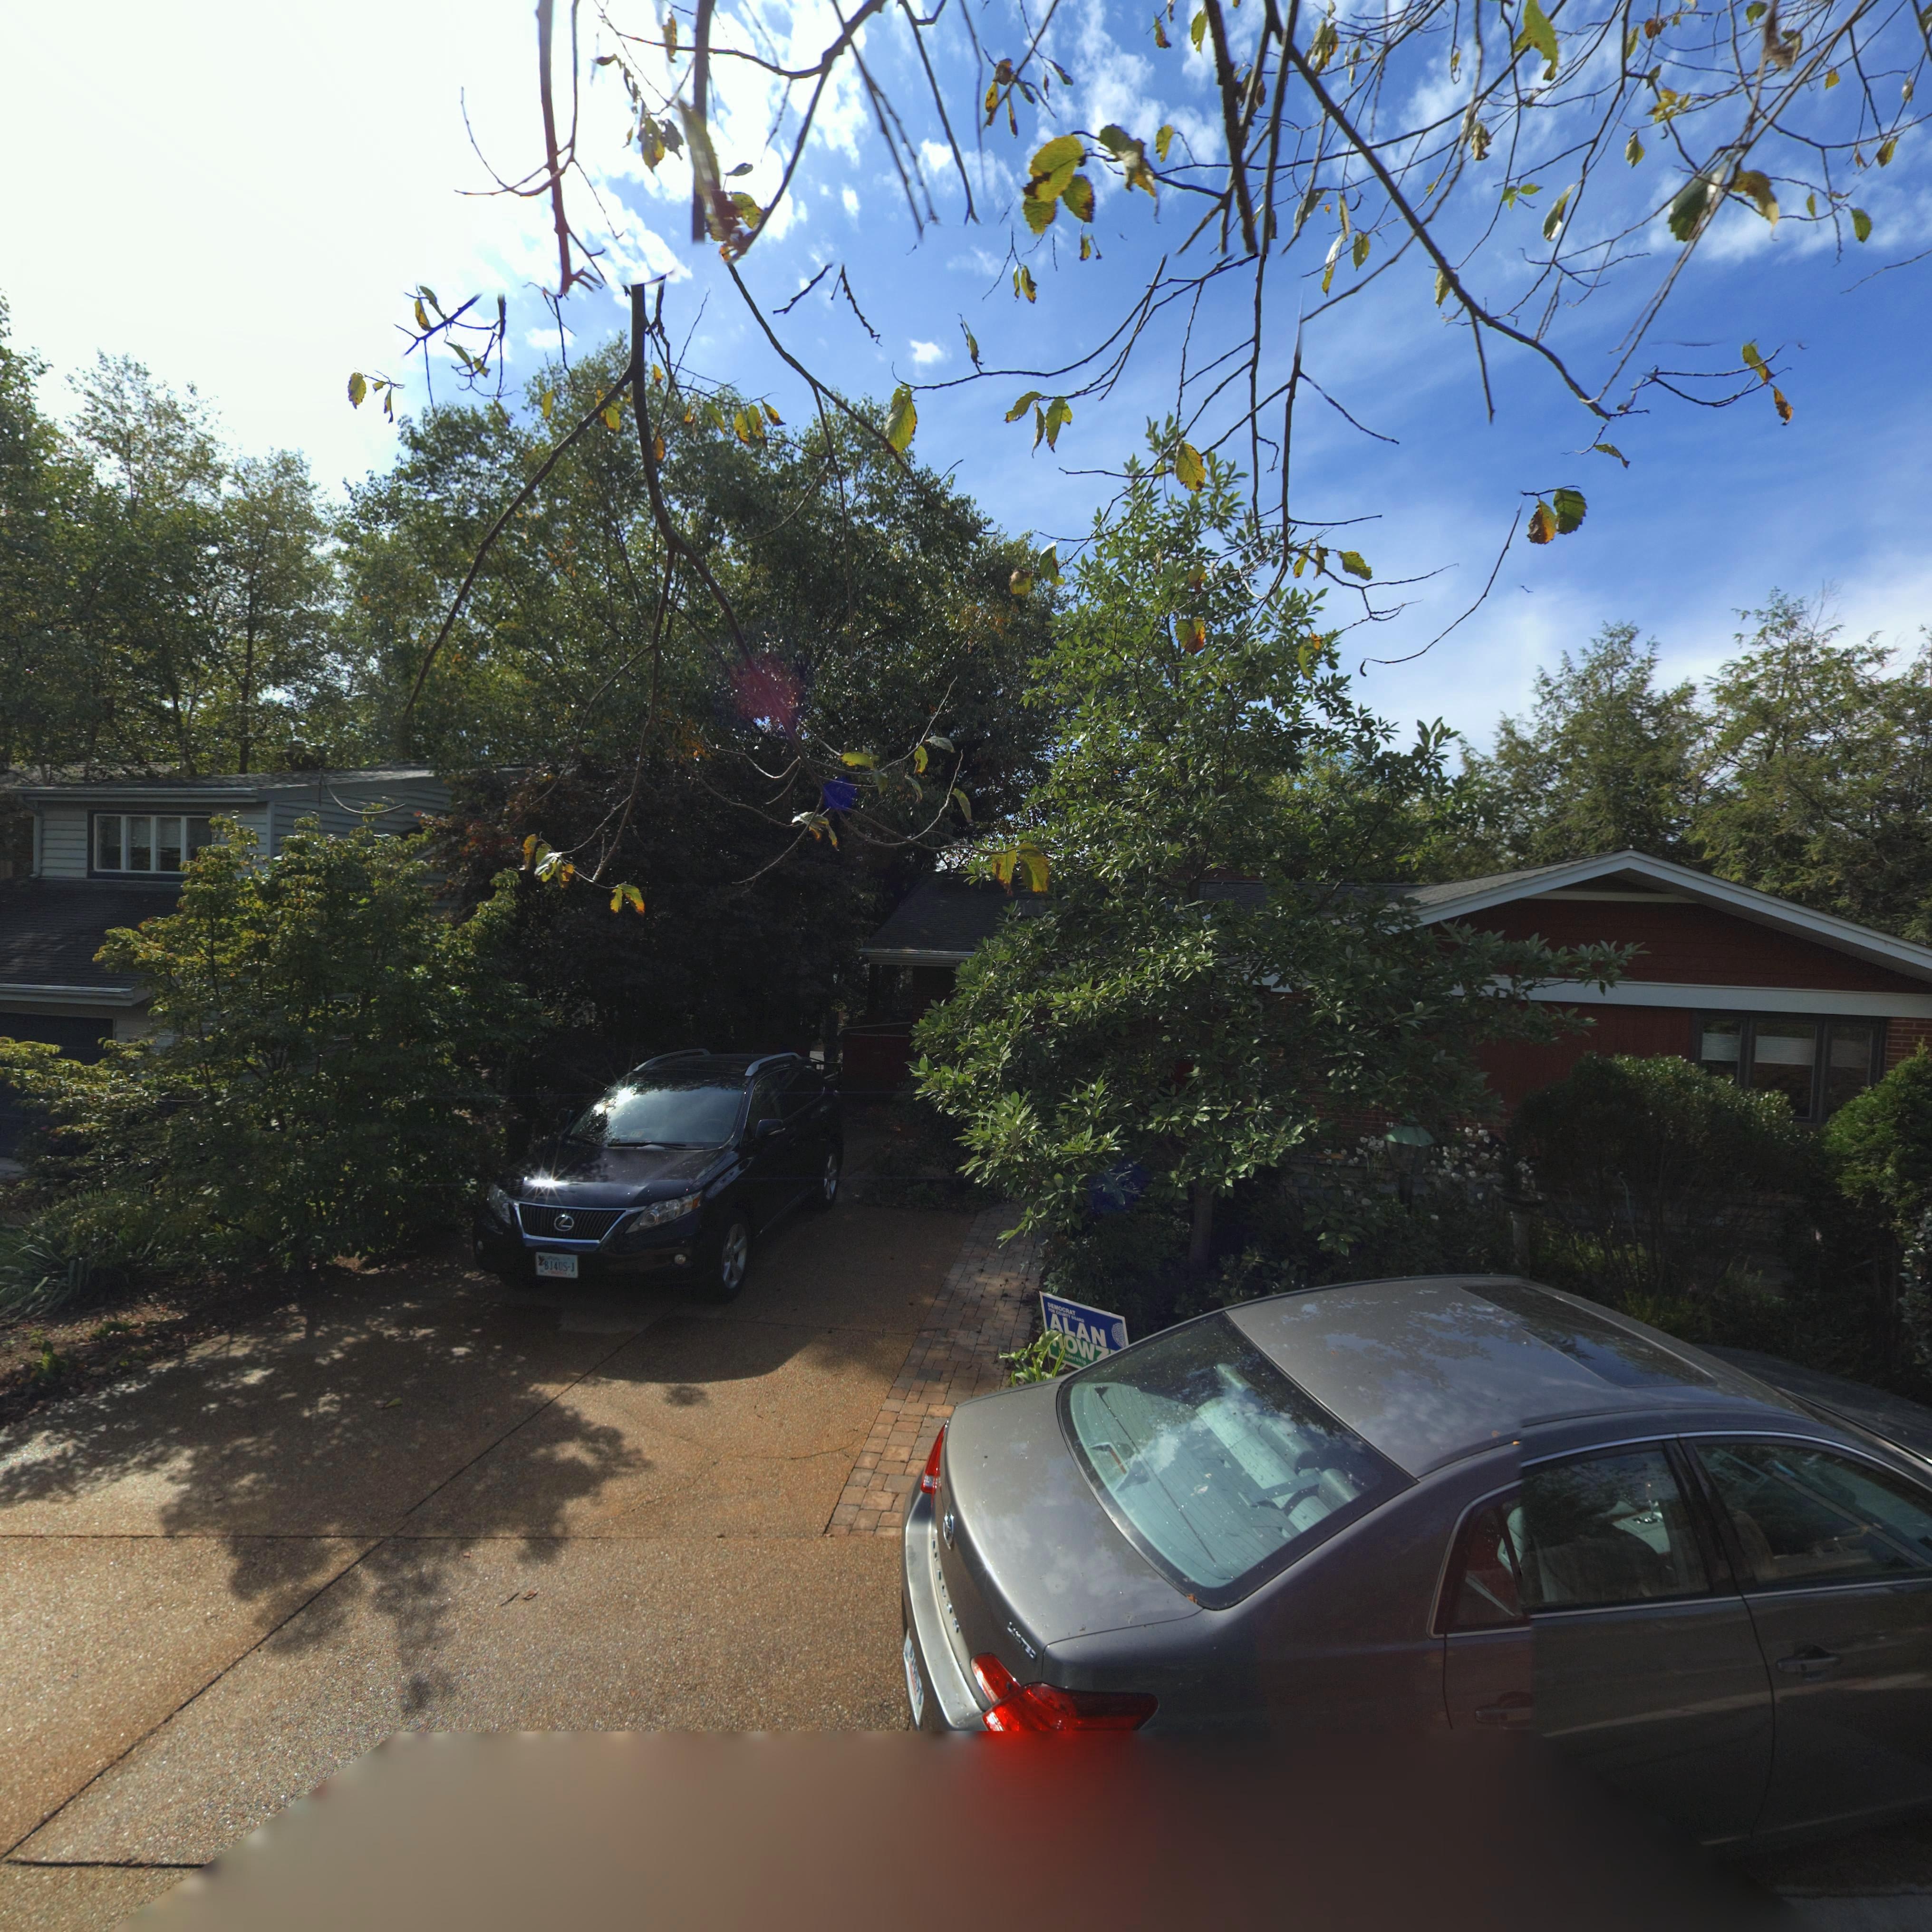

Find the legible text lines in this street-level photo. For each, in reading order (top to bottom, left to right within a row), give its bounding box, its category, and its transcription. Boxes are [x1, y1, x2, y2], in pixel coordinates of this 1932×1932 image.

[543, 1259, 576, 1273] None: BJ4US-J
[1047, 1302, 1076, 1317] None: DEMOCRAT
[1049, 1313, 1108, 1349] None: ALAN
[1063, 1334, 1095, 1362] None: OW